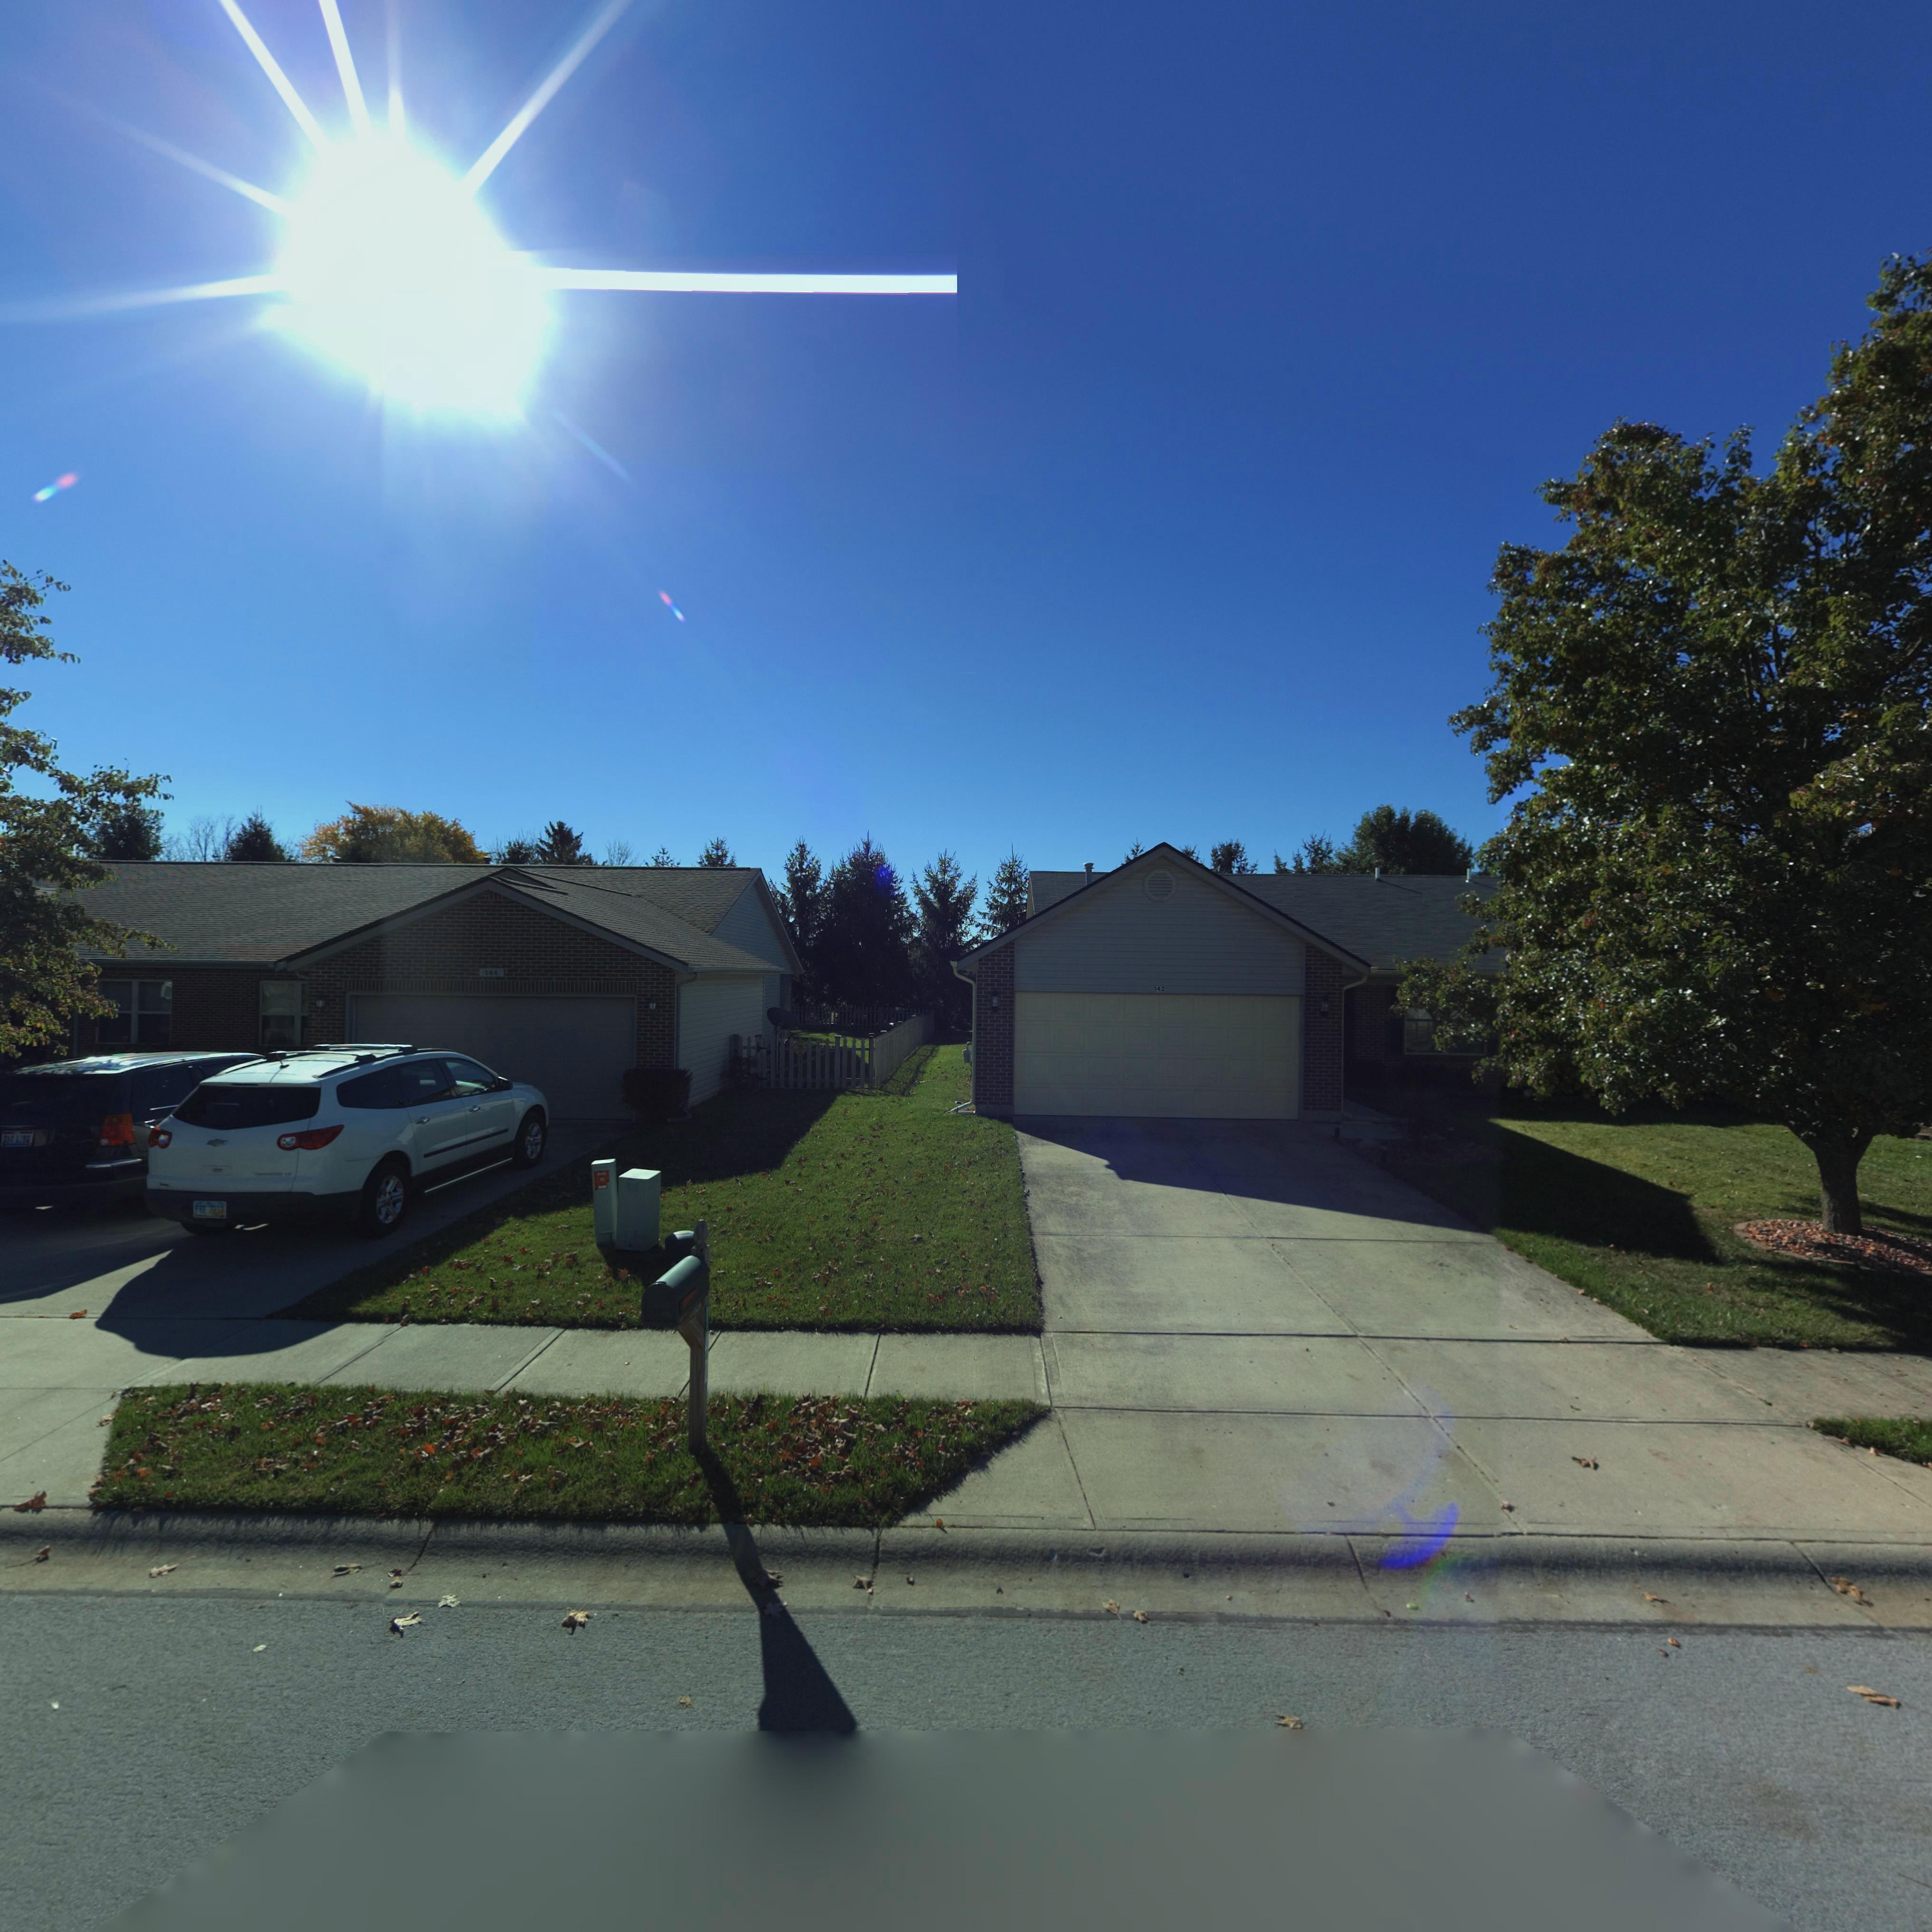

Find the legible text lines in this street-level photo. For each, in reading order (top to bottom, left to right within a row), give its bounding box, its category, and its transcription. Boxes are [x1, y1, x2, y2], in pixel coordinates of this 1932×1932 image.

[484, 969, 498, 976] StreetNumber: 144
[1153, 986, 1165, 992] StreetNumber: 142
[193, 1203, 225, 1217] None: FRE 7037
[704, 1302, 710, 1386] StreetNumber: 142